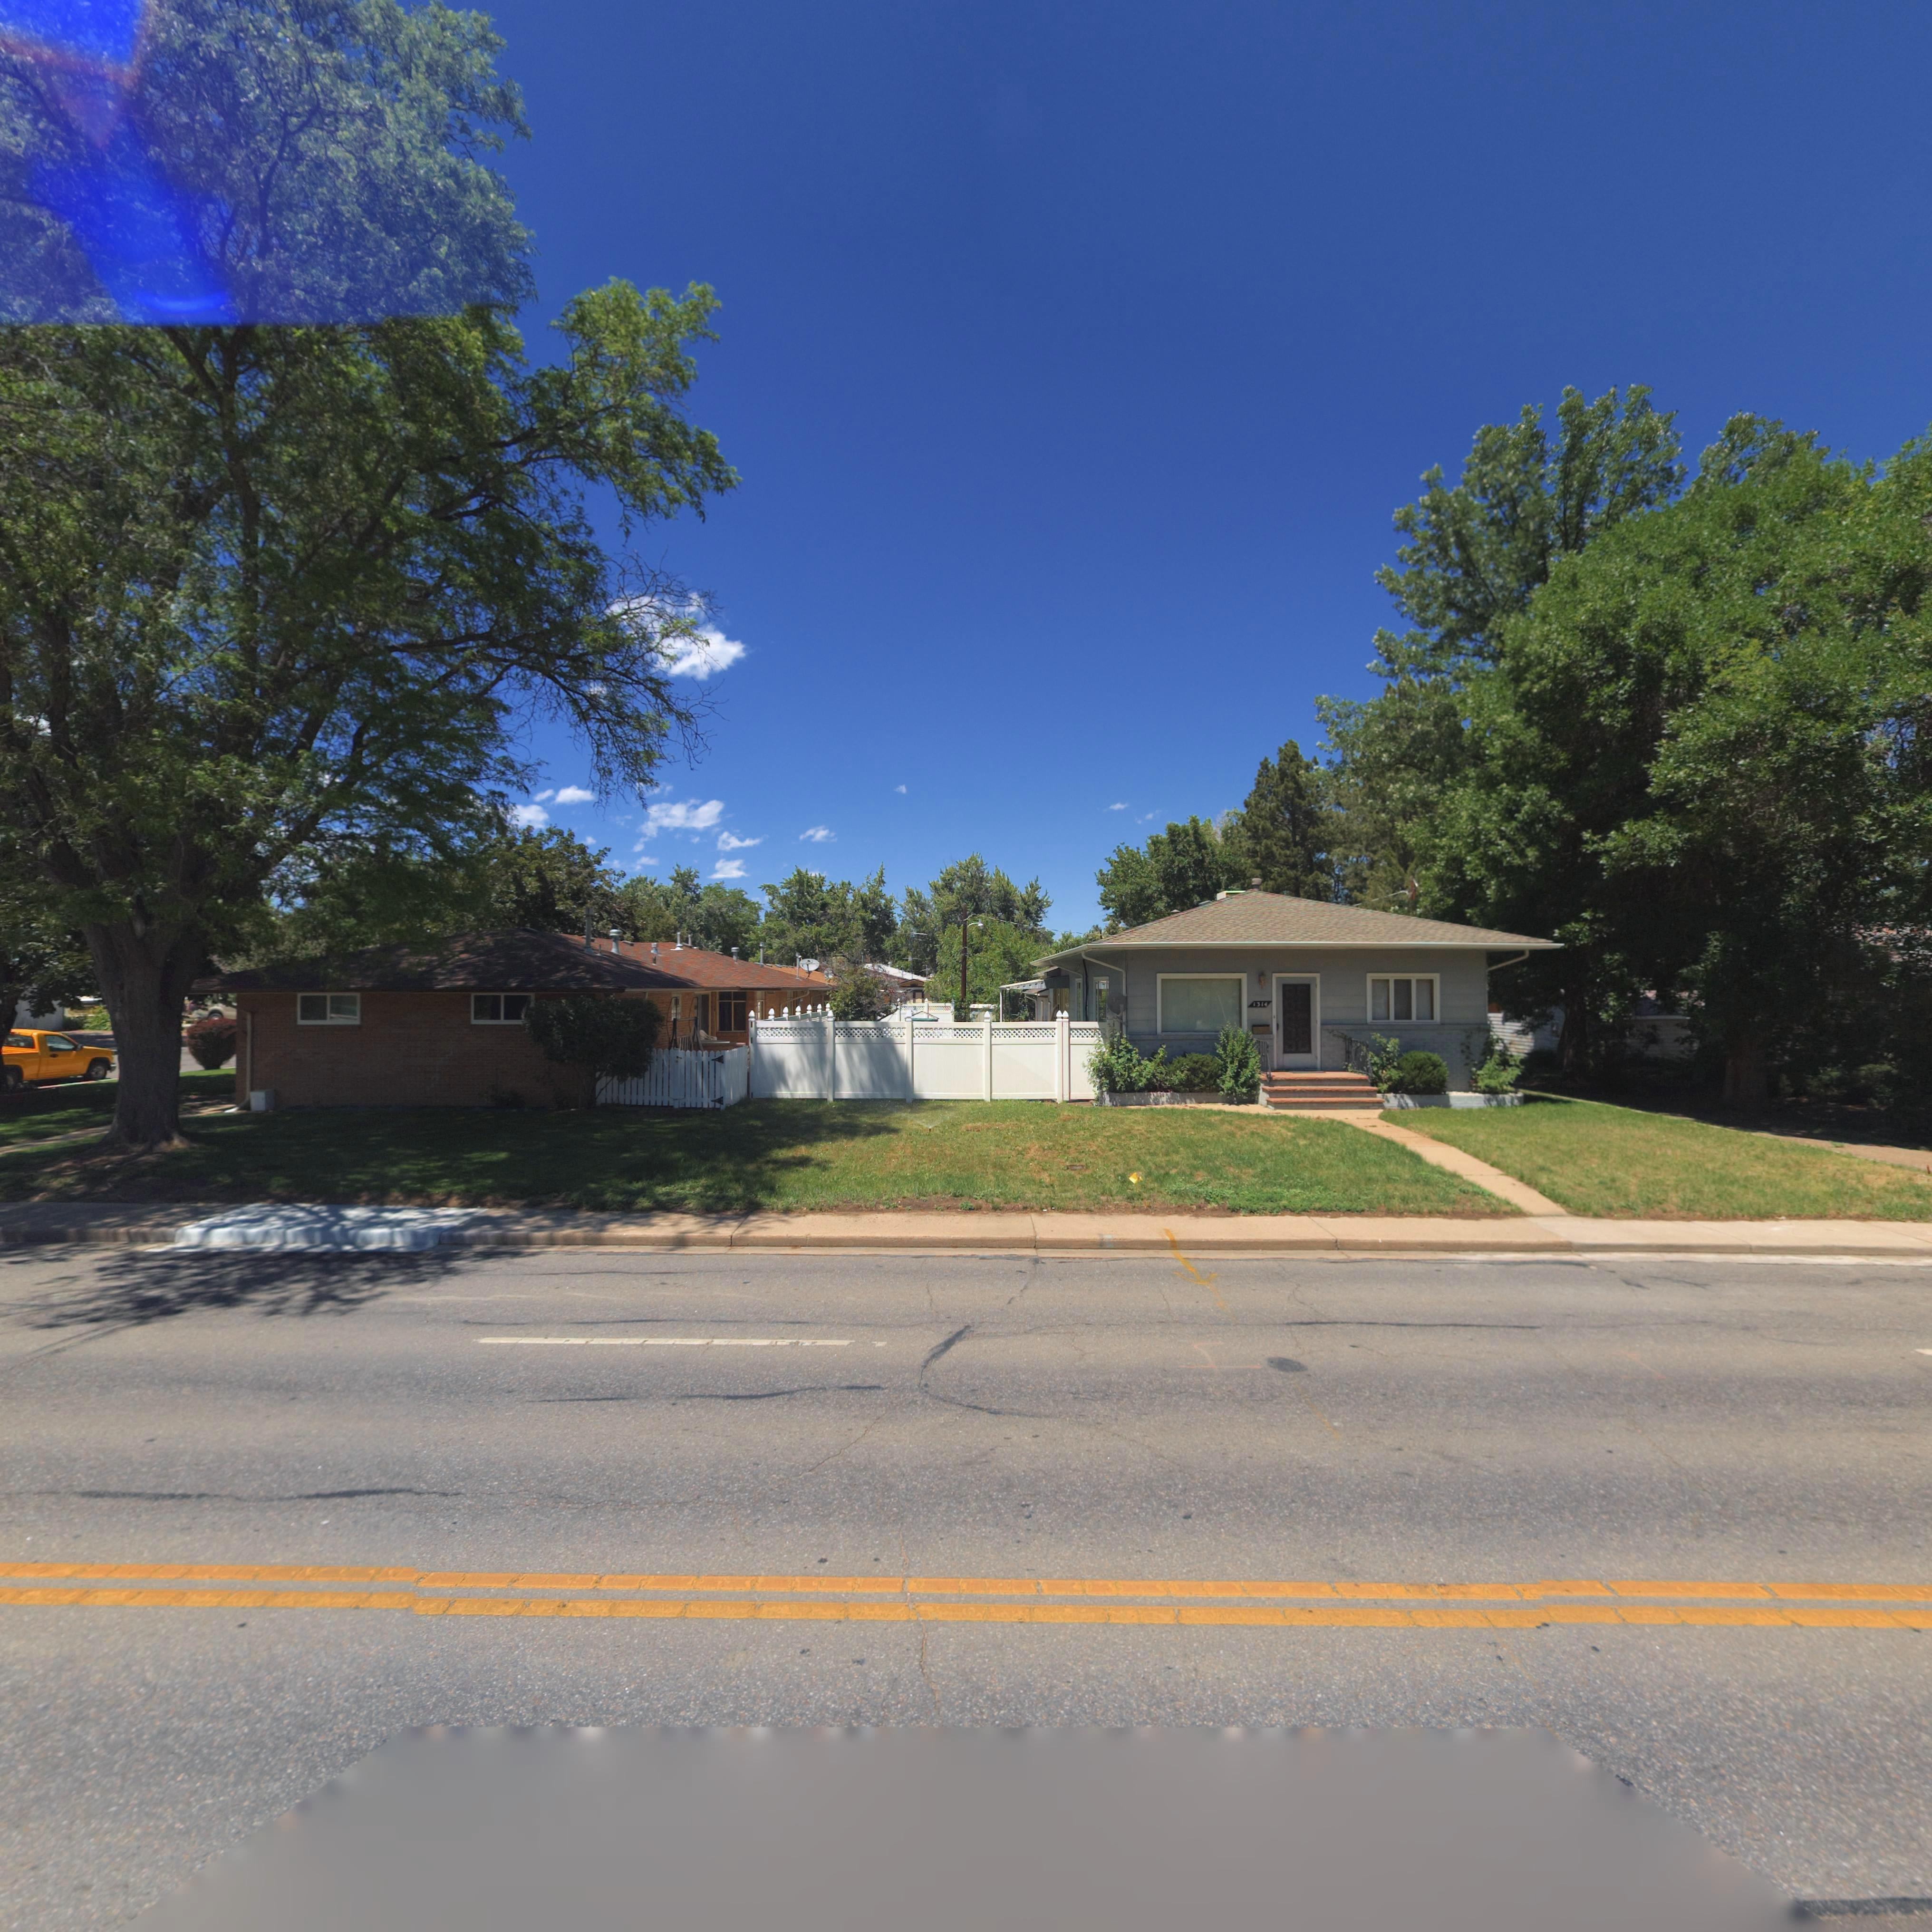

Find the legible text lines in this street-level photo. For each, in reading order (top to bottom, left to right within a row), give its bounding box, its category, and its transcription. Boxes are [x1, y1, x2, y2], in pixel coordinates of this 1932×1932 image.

[1253, 1001, 1267, 1006] StreetNumber: 1314